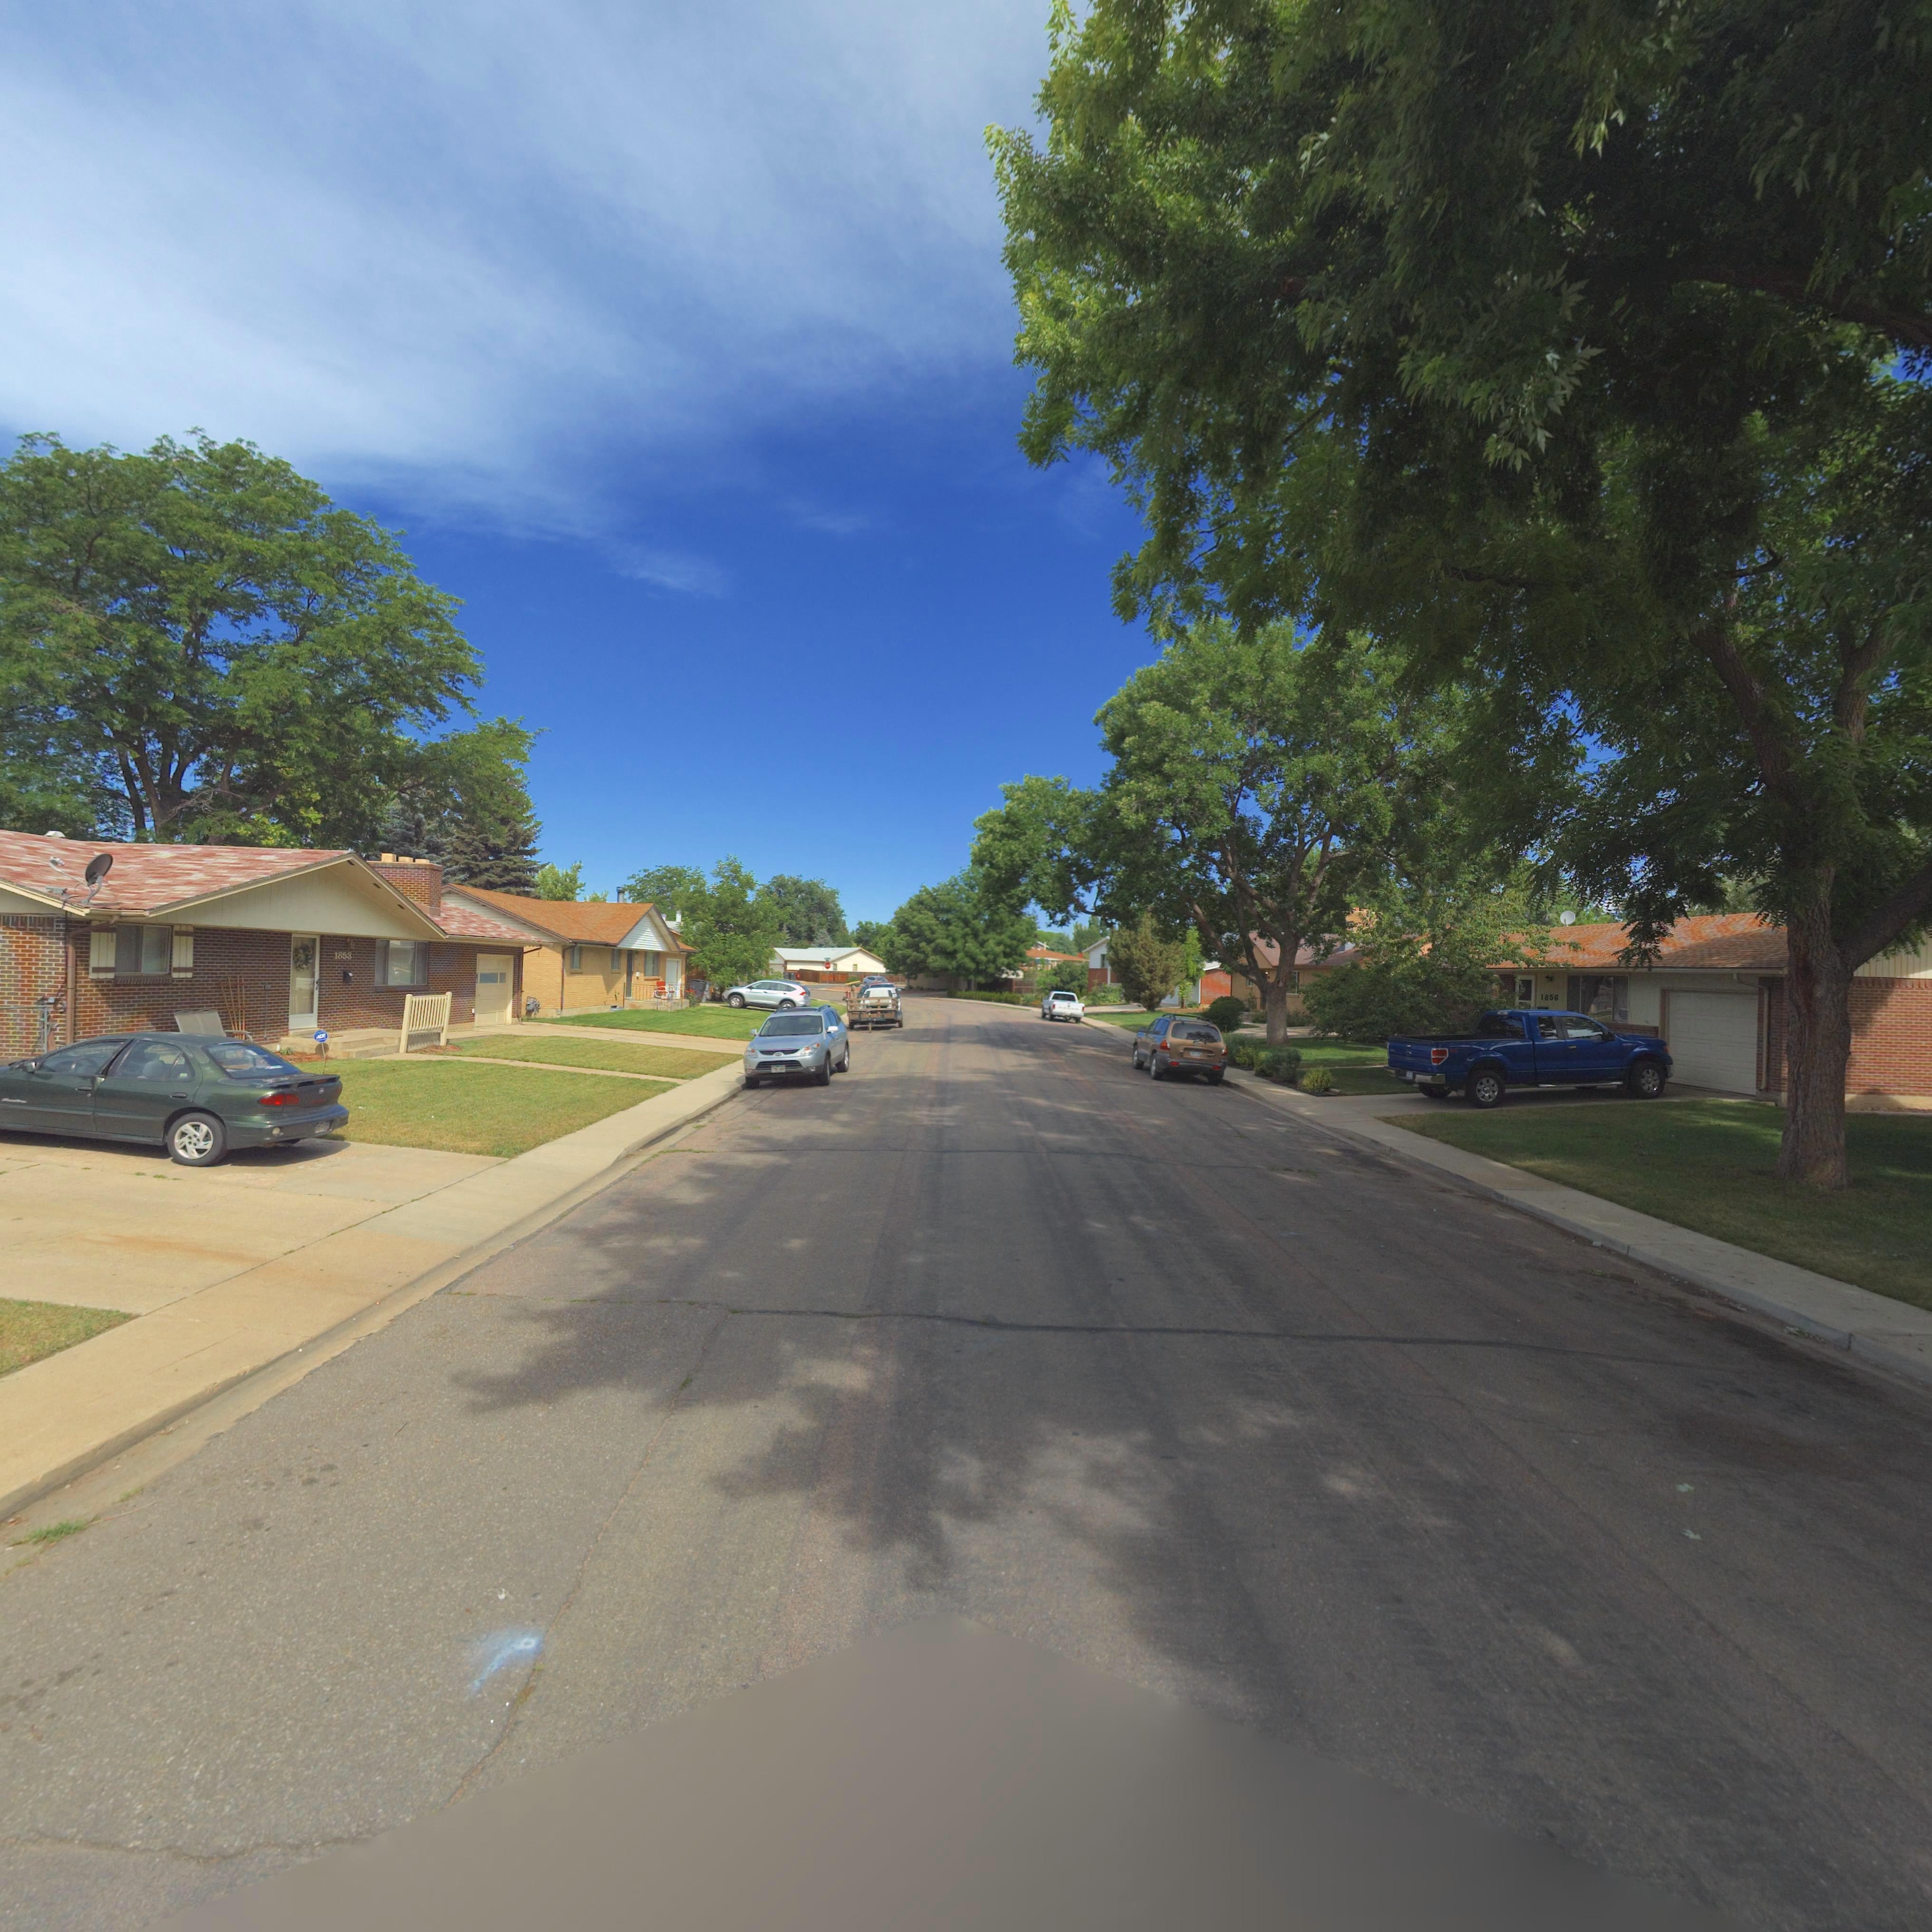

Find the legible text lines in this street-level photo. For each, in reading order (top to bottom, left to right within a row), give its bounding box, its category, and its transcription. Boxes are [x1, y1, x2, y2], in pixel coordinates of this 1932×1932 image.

[334, 951, 352, 960] StreetNumber: 1853
[1540, 994, 1558, 1001] StreetNumber: 1856